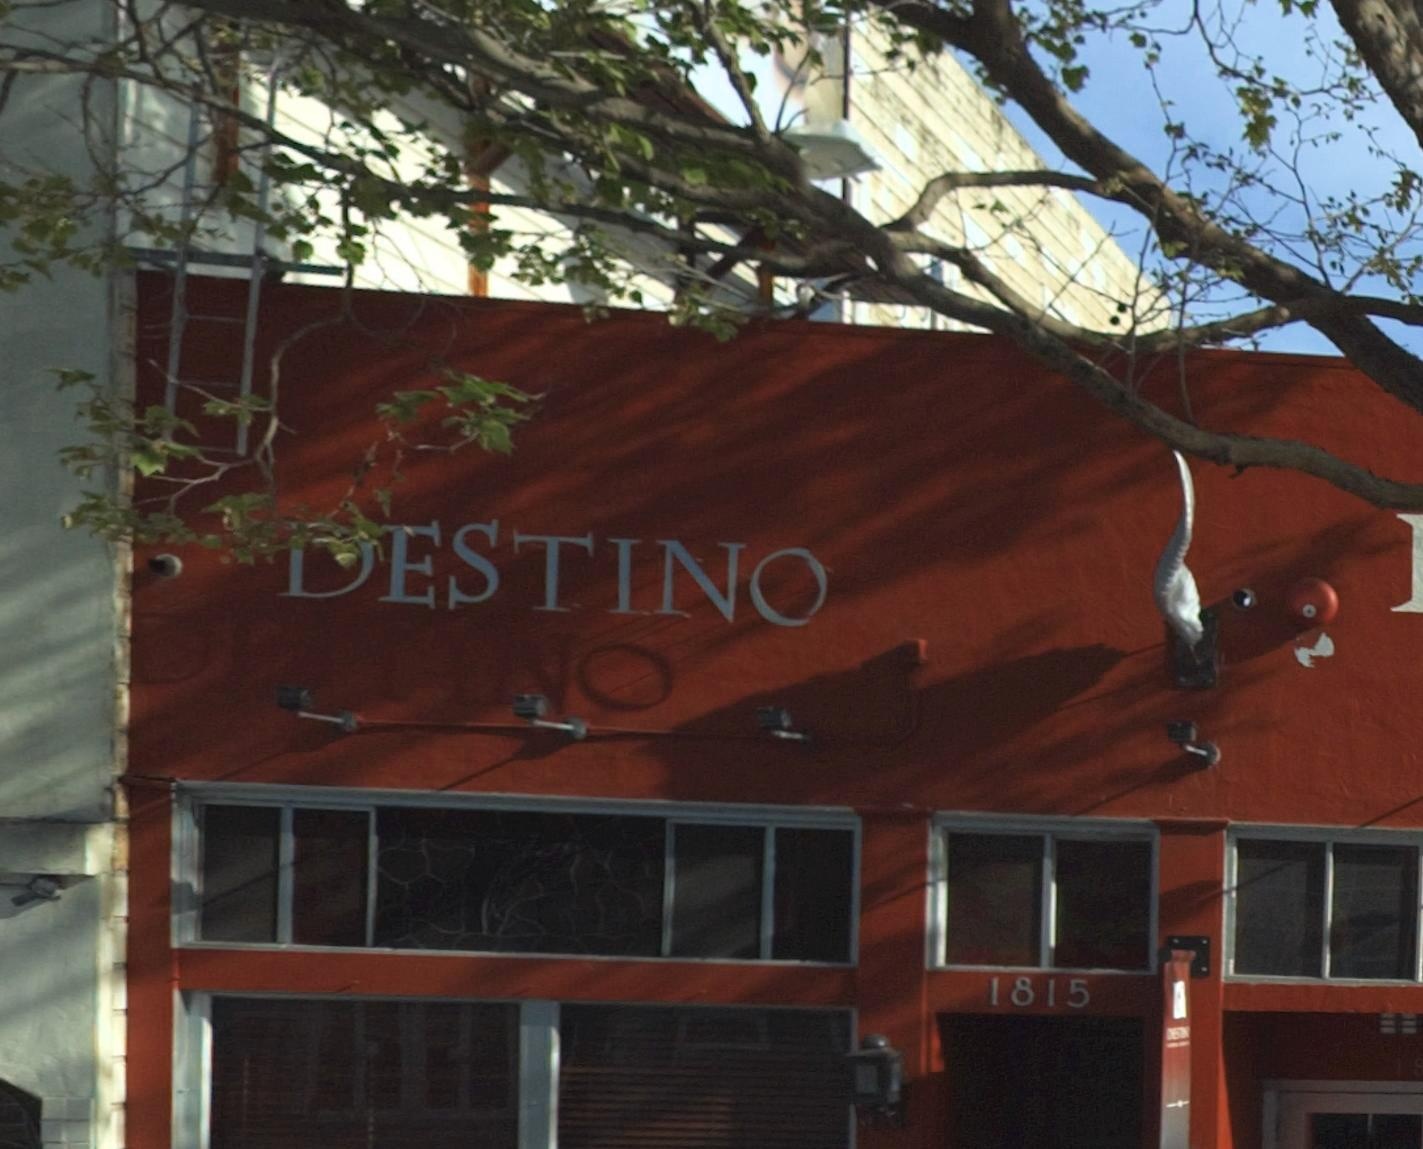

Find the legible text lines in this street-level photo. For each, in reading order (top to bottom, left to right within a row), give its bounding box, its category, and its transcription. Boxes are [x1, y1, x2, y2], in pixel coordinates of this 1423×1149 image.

[276, 512, 834, 633] BusinessName: DESTINO
[986, 971, 1095, 1011] StreetNumber: 1815